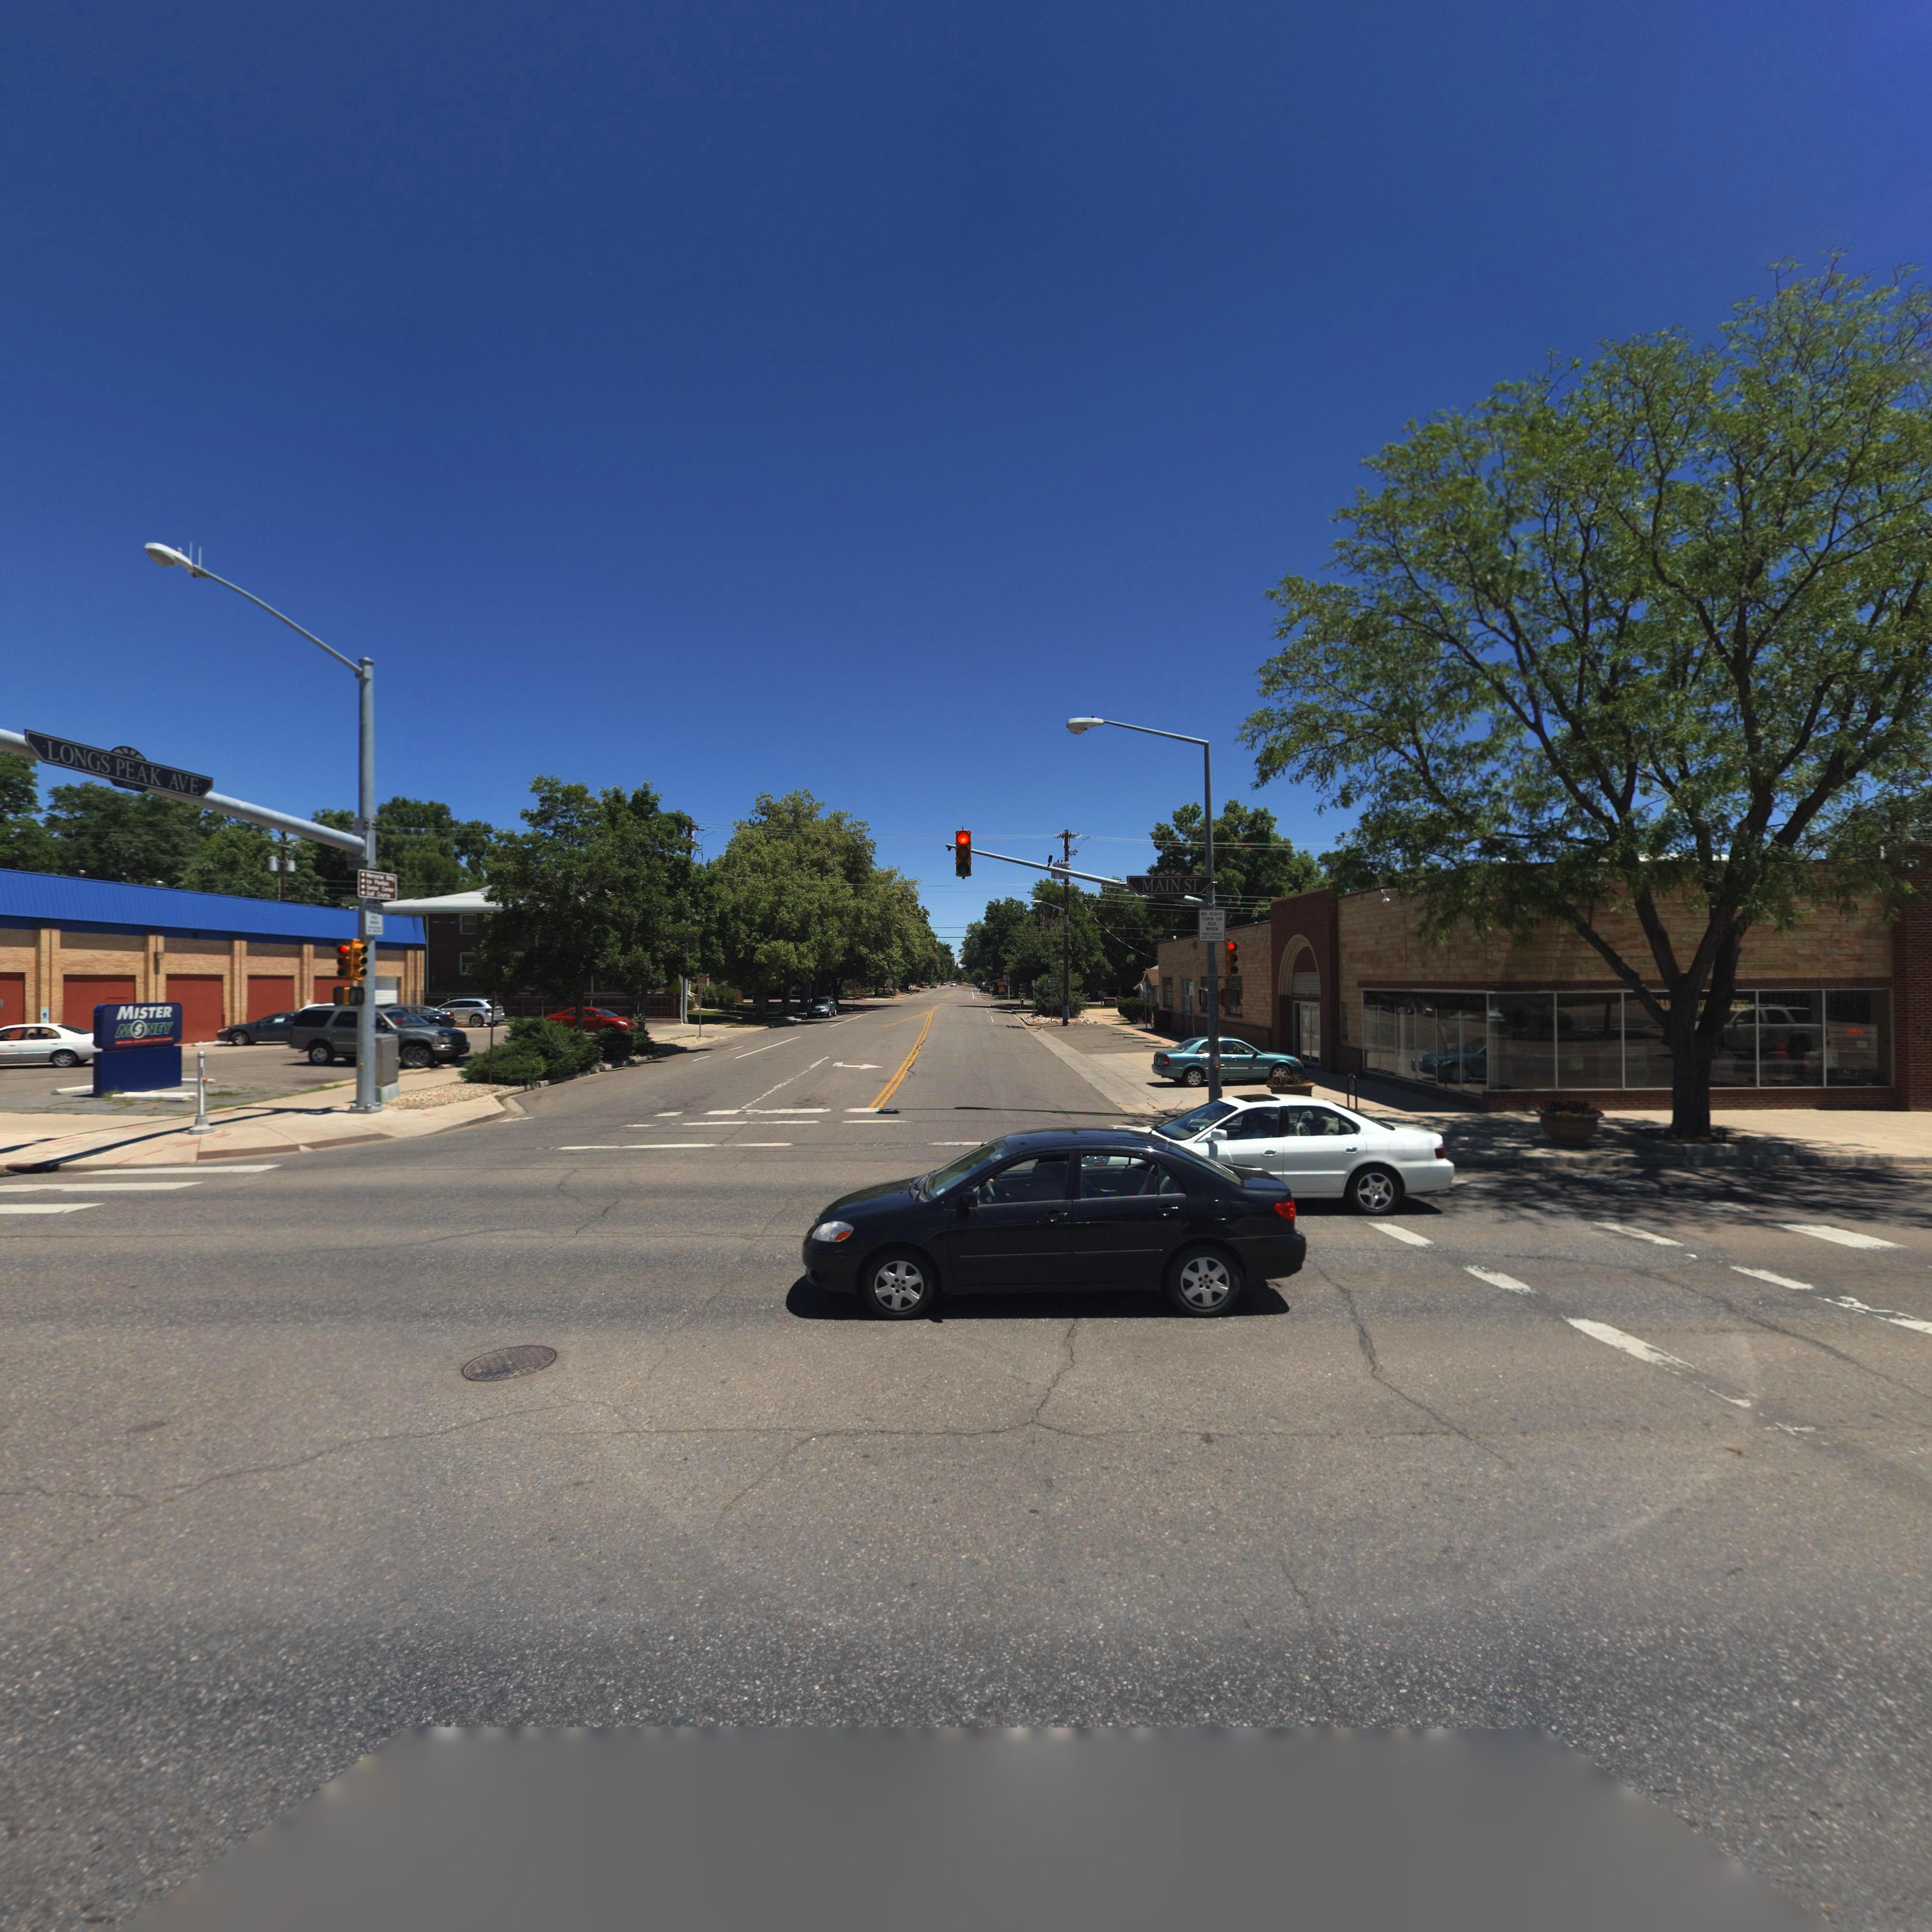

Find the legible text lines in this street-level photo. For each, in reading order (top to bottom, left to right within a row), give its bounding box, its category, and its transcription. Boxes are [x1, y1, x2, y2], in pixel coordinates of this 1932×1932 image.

[48, 739, 199, 795] StreetName: LONGS PEAK AVE
[123, 782, 135, 789] StreetNumberRange: 700
[1141, 879, 1199, 891] StreetName: MAIN ST
[1165, 894, 1175, 899] StreetNumberRange: *00
[115, 1005, 173, 1020] BusinessName: MISTER
[114, 1019, 174, 1038] BusinessName: M*NEY